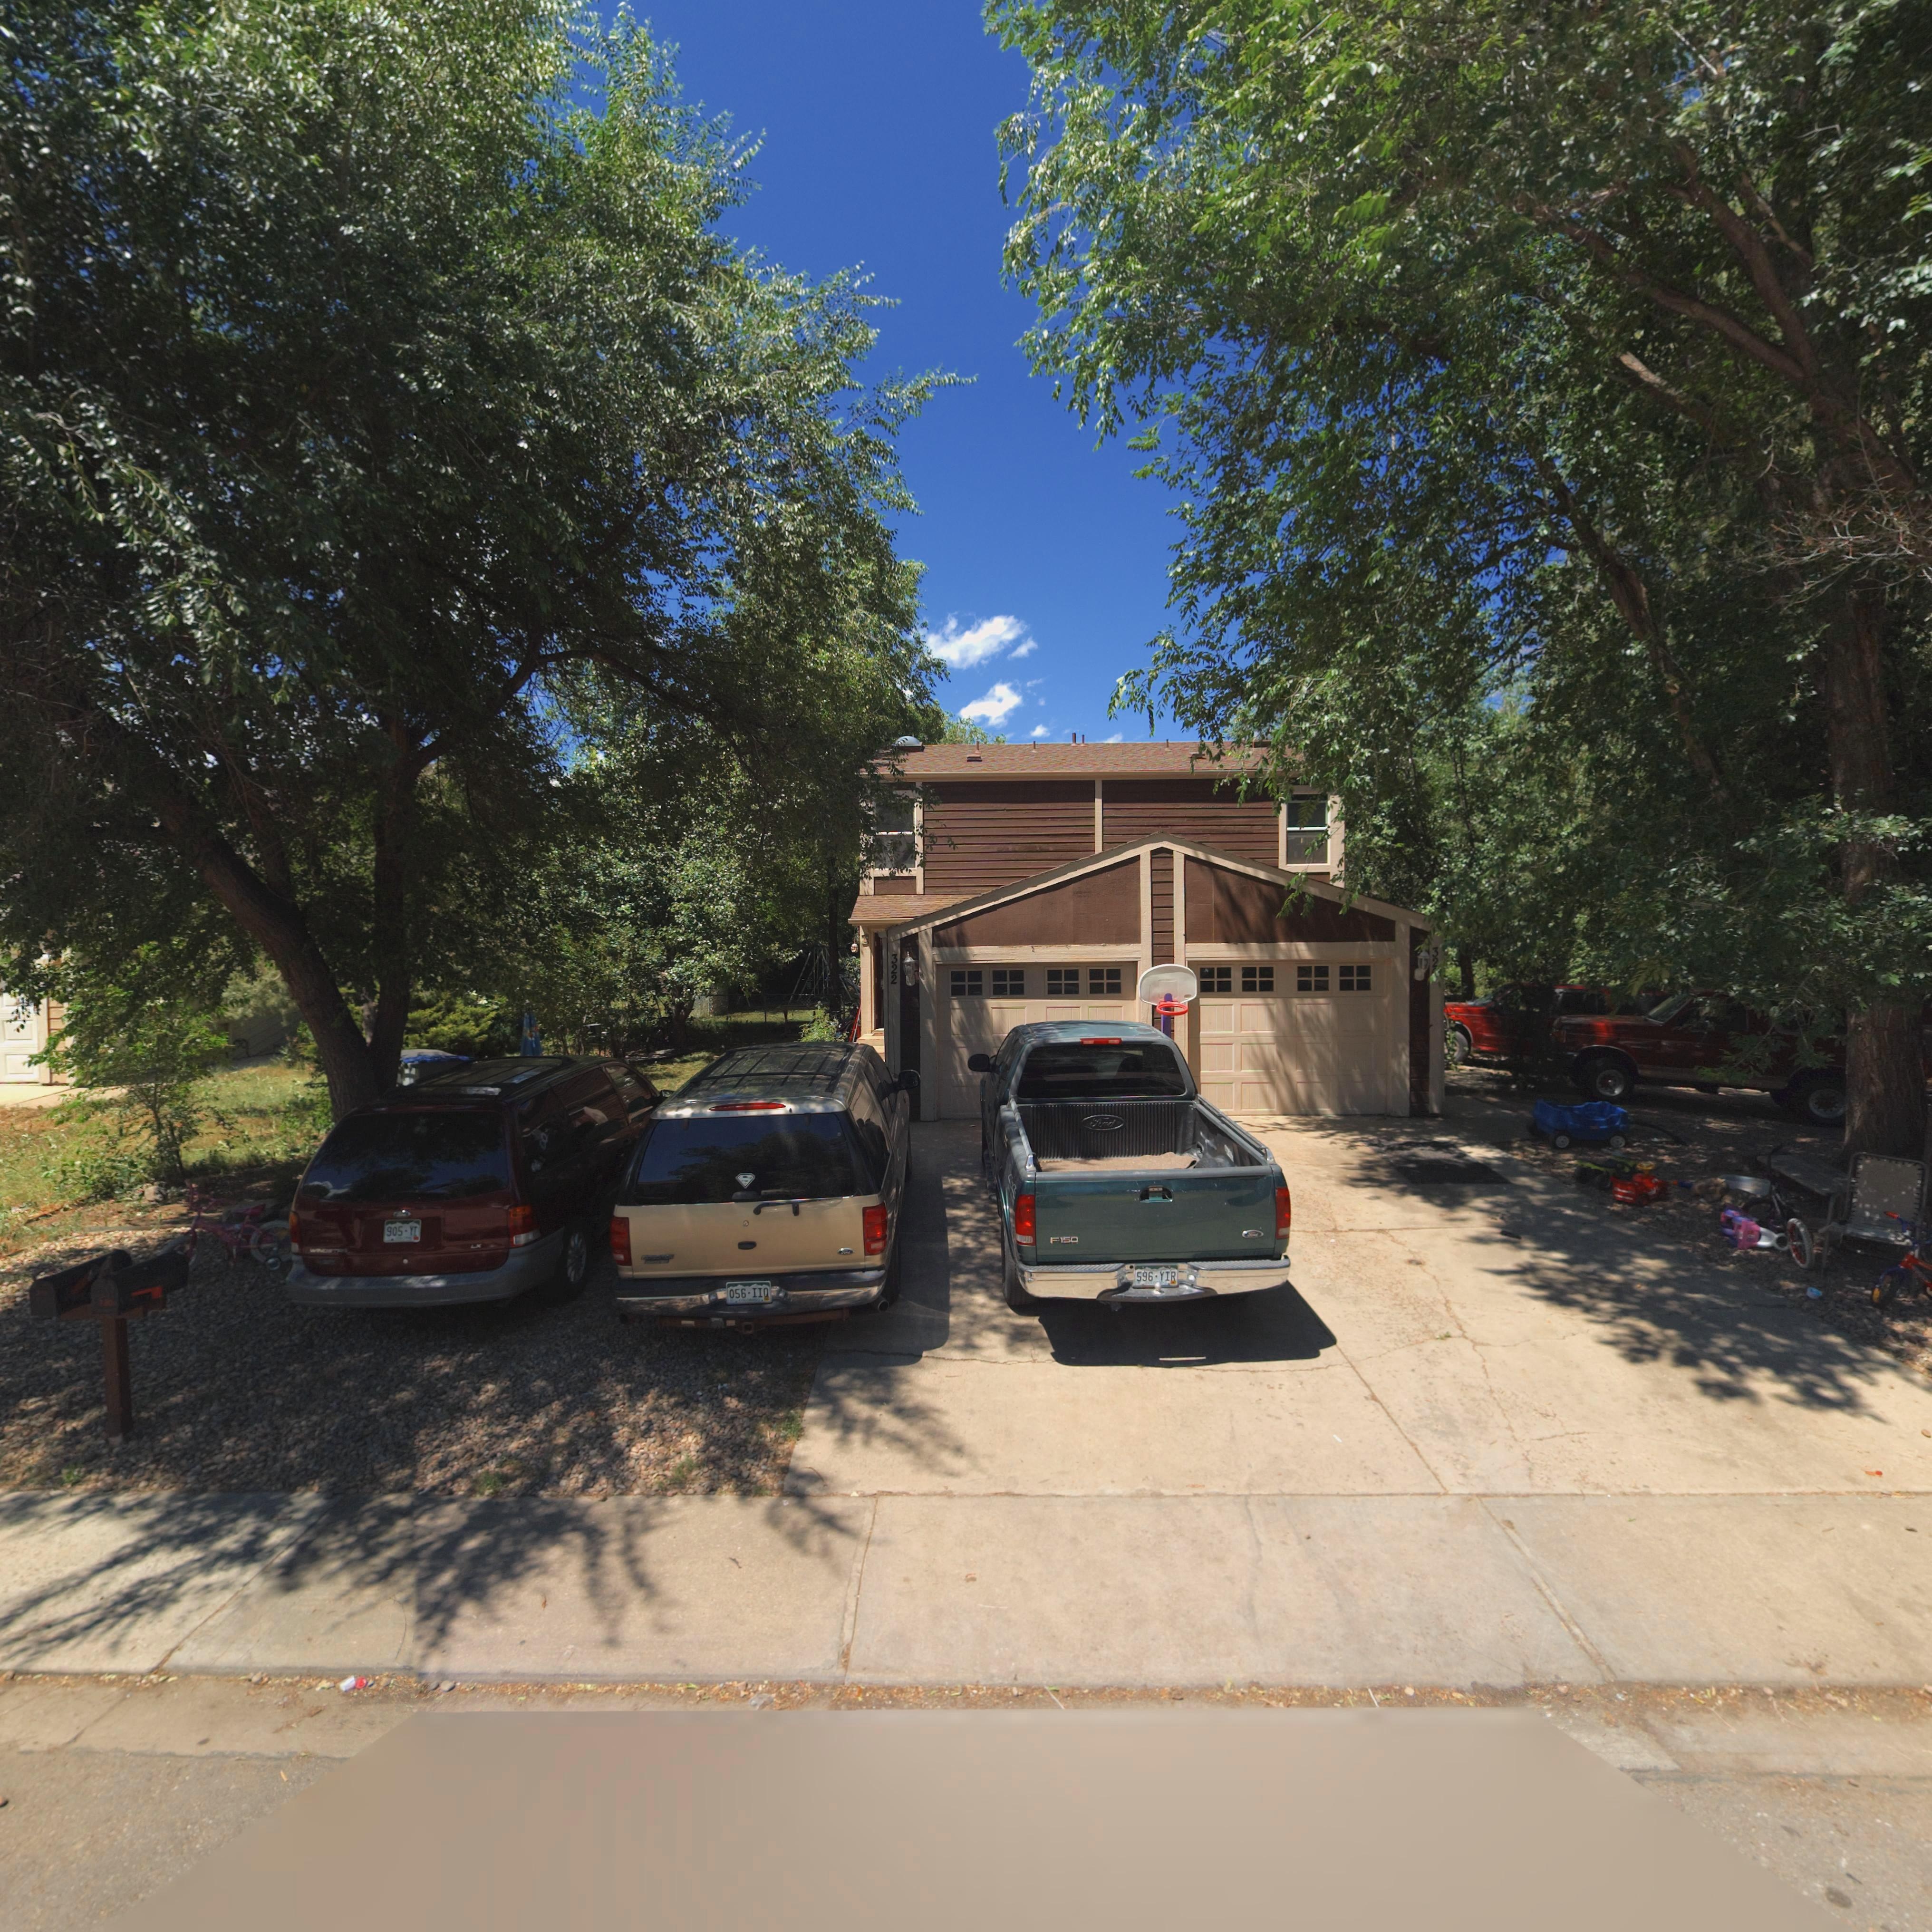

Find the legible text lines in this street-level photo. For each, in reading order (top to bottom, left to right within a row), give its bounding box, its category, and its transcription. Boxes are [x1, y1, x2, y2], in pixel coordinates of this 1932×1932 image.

[889, 953, 898, 985] StreetNumber: 322
[1431, 946, 1439, 977] StreetNumber: 32*